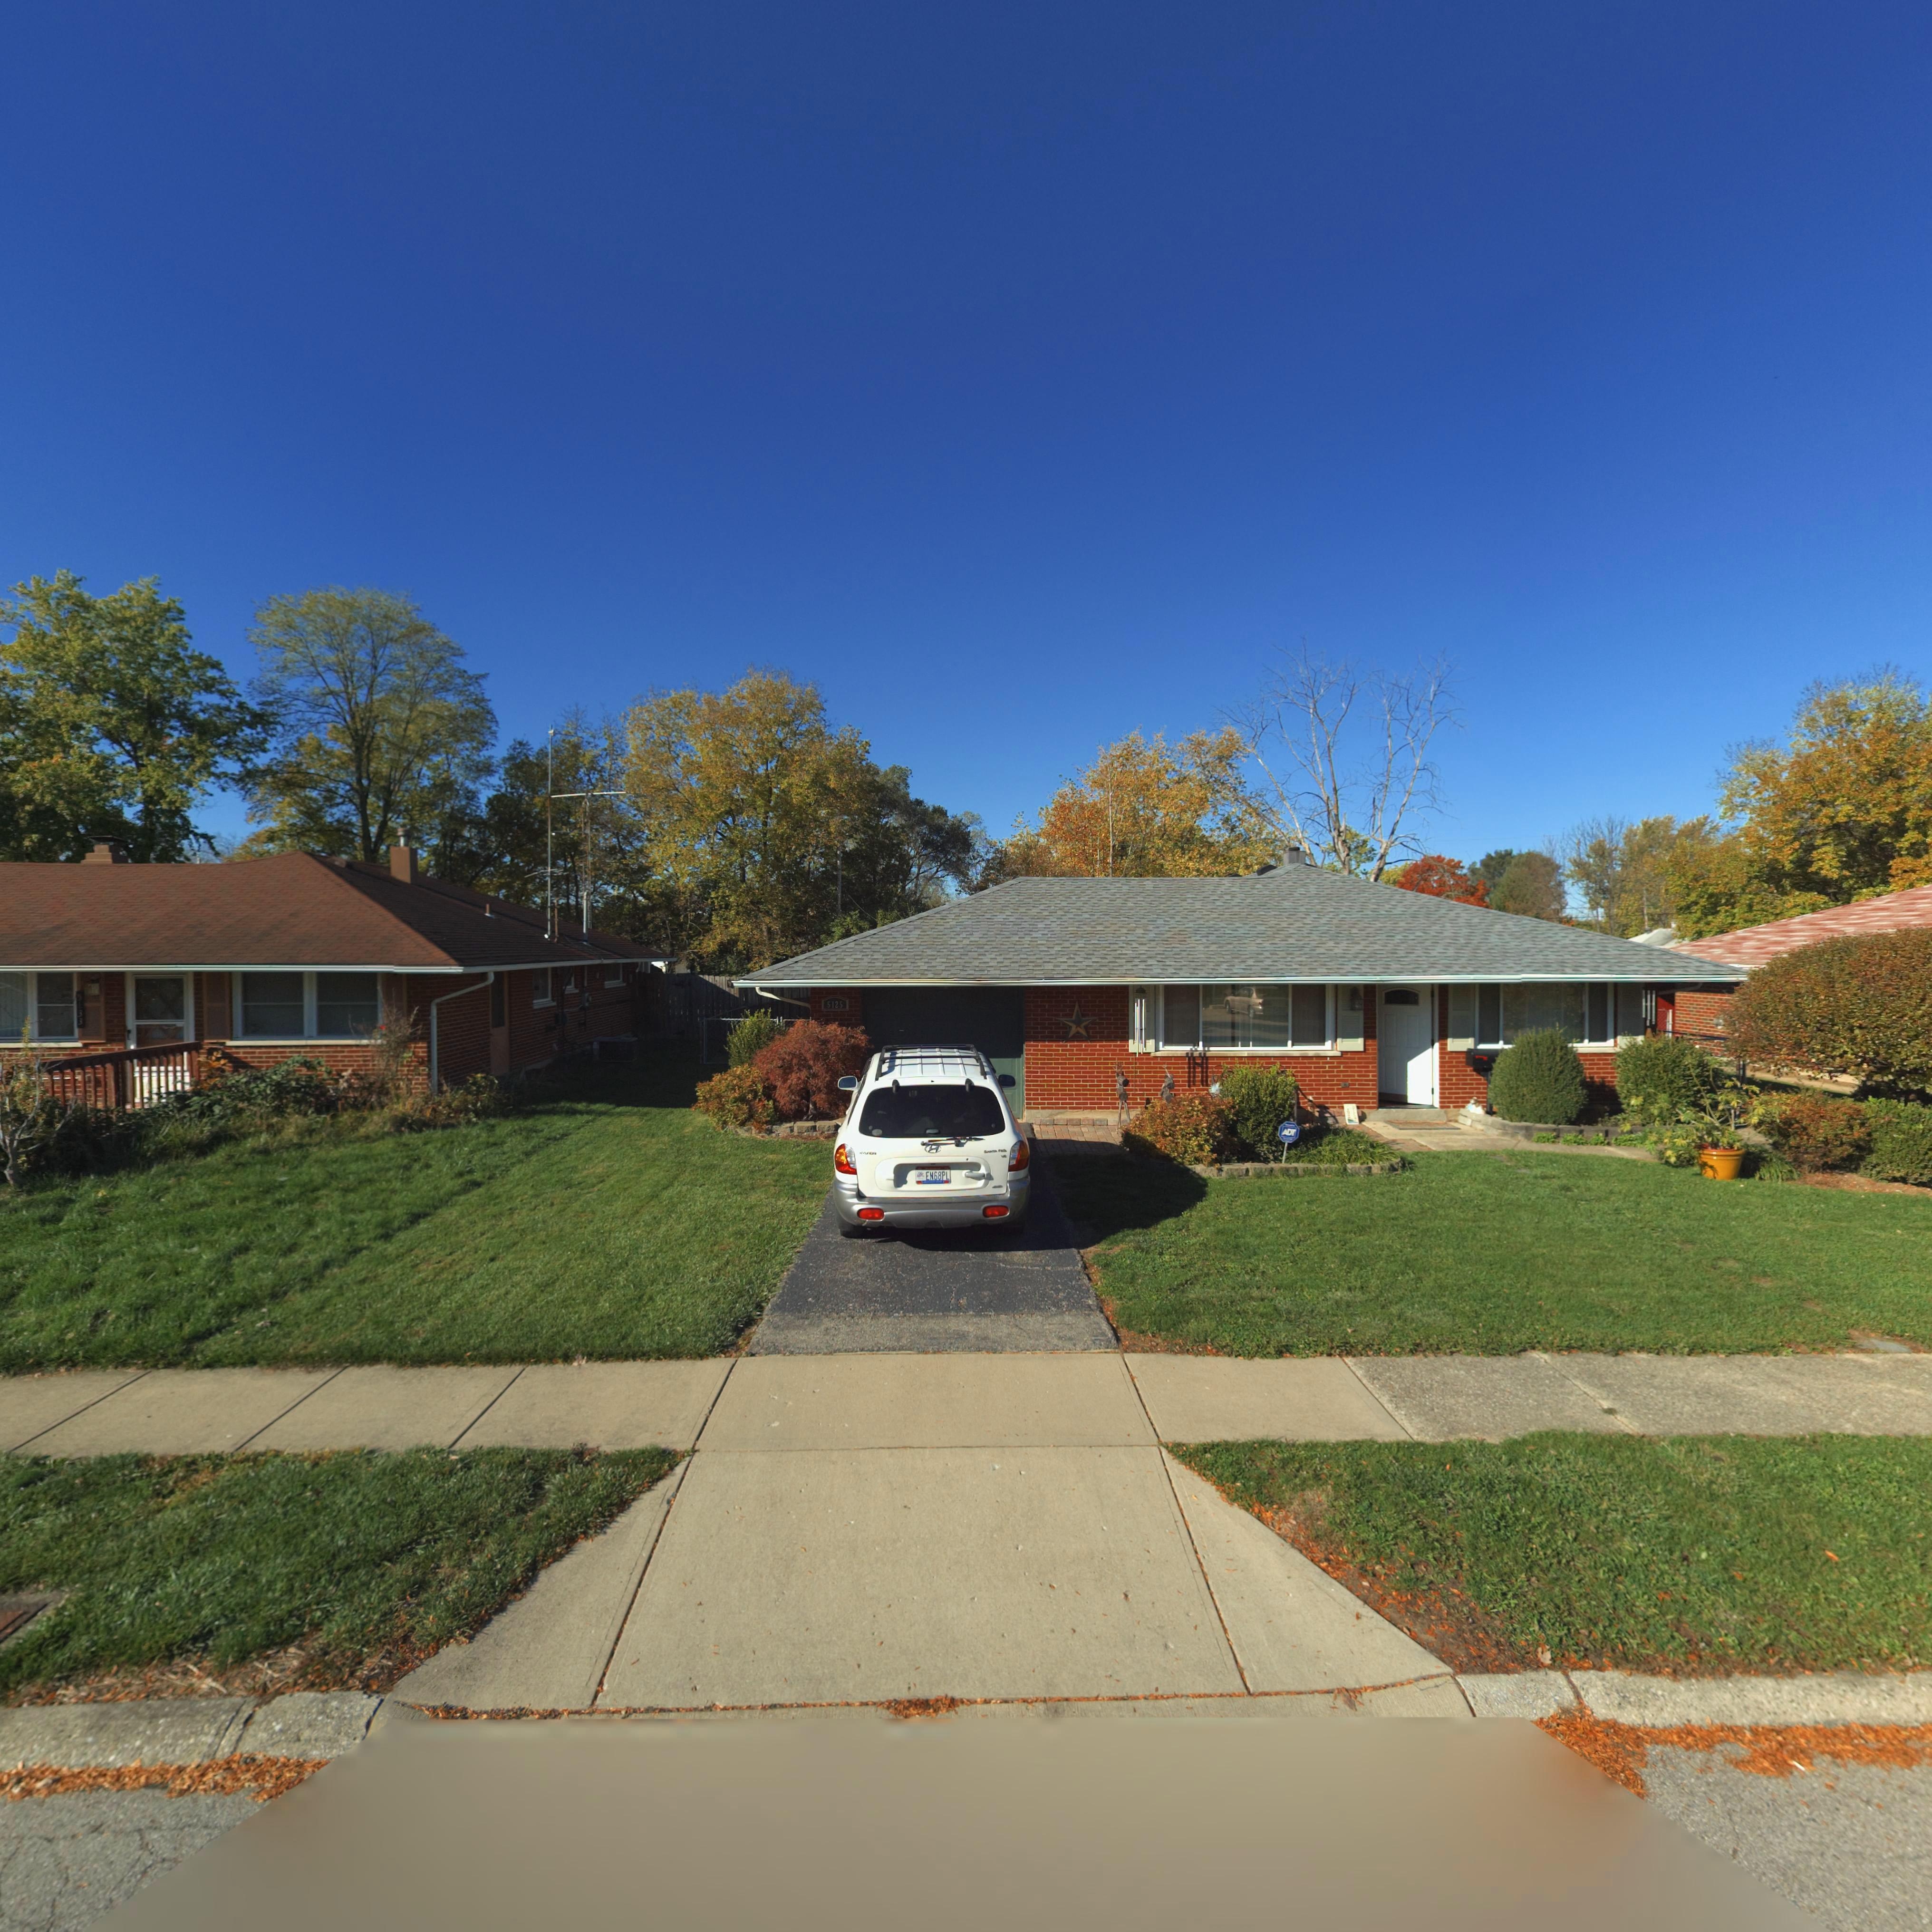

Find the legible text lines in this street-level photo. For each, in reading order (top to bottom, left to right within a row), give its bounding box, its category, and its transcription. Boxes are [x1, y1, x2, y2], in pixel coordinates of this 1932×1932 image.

[76, 992, 84, 1025] StreetNumber: 5133
[826, 1000, 844, 1008] StreetNumber: 5125